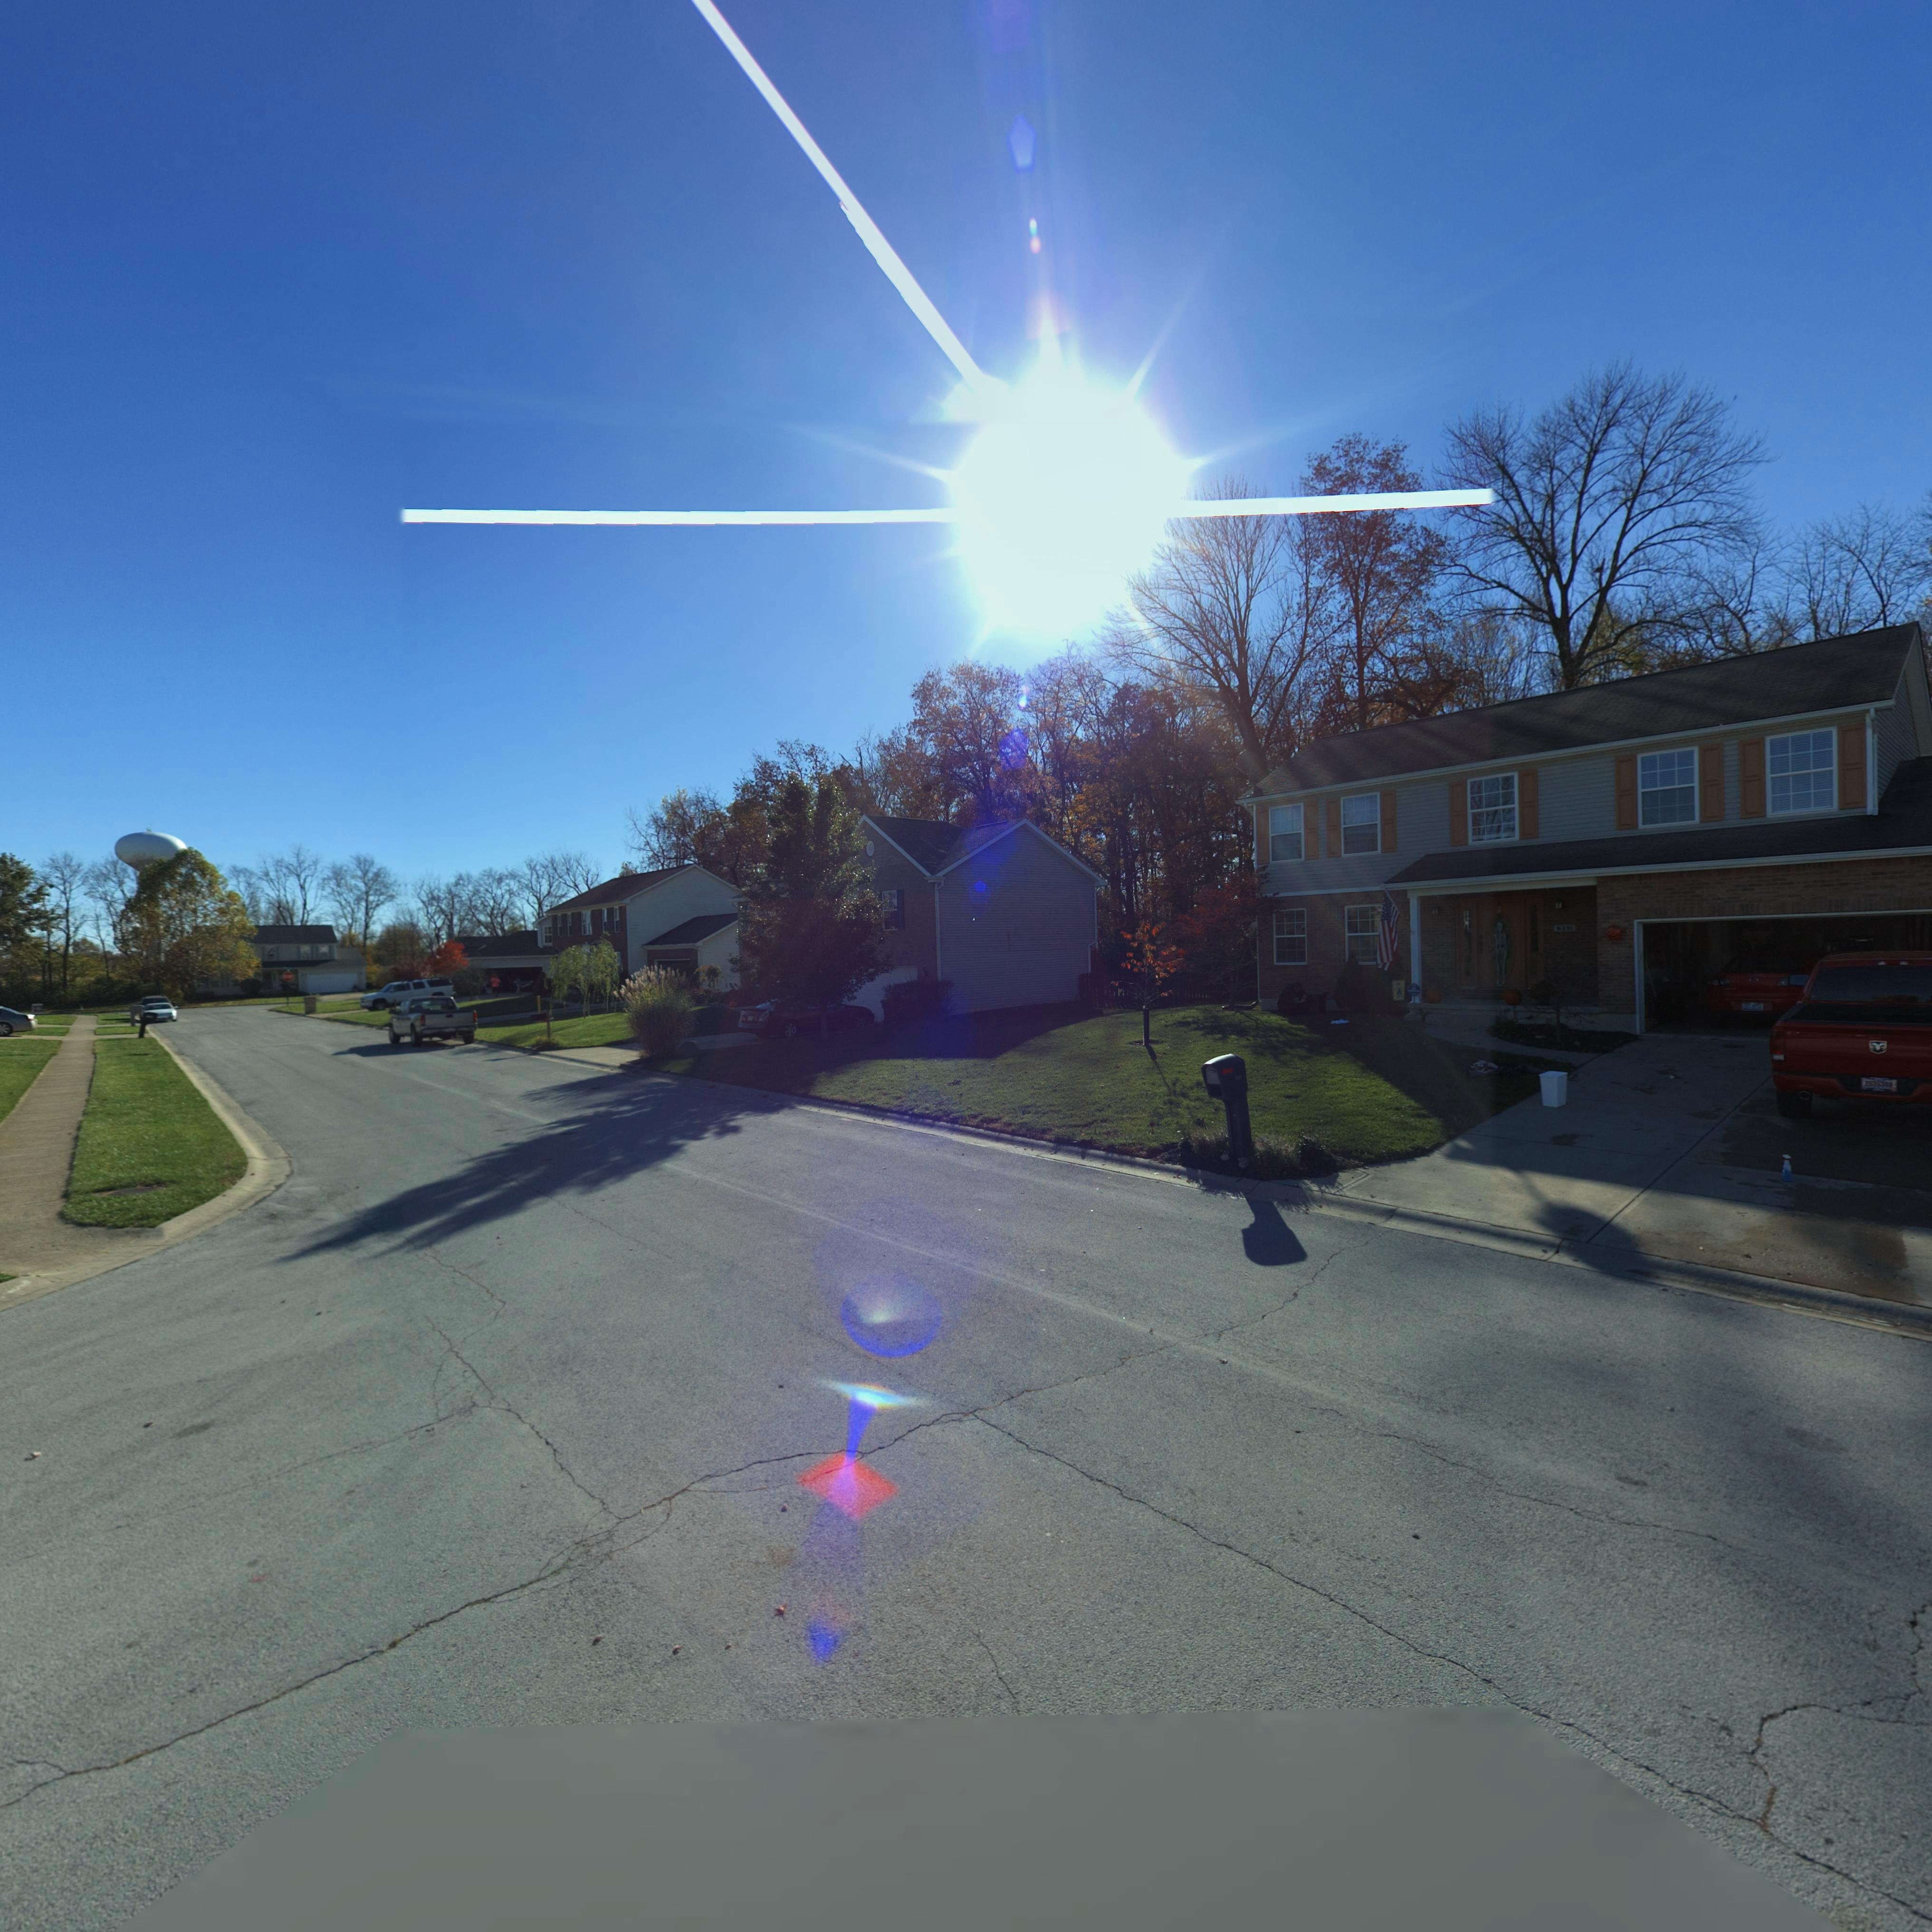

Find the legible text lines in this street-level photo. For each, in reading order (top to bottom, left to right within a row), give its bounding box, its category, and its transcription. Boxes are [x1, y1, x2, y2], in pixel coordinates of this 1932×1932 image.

[1556, 925, 1573, 931] StreetNumber: 6331